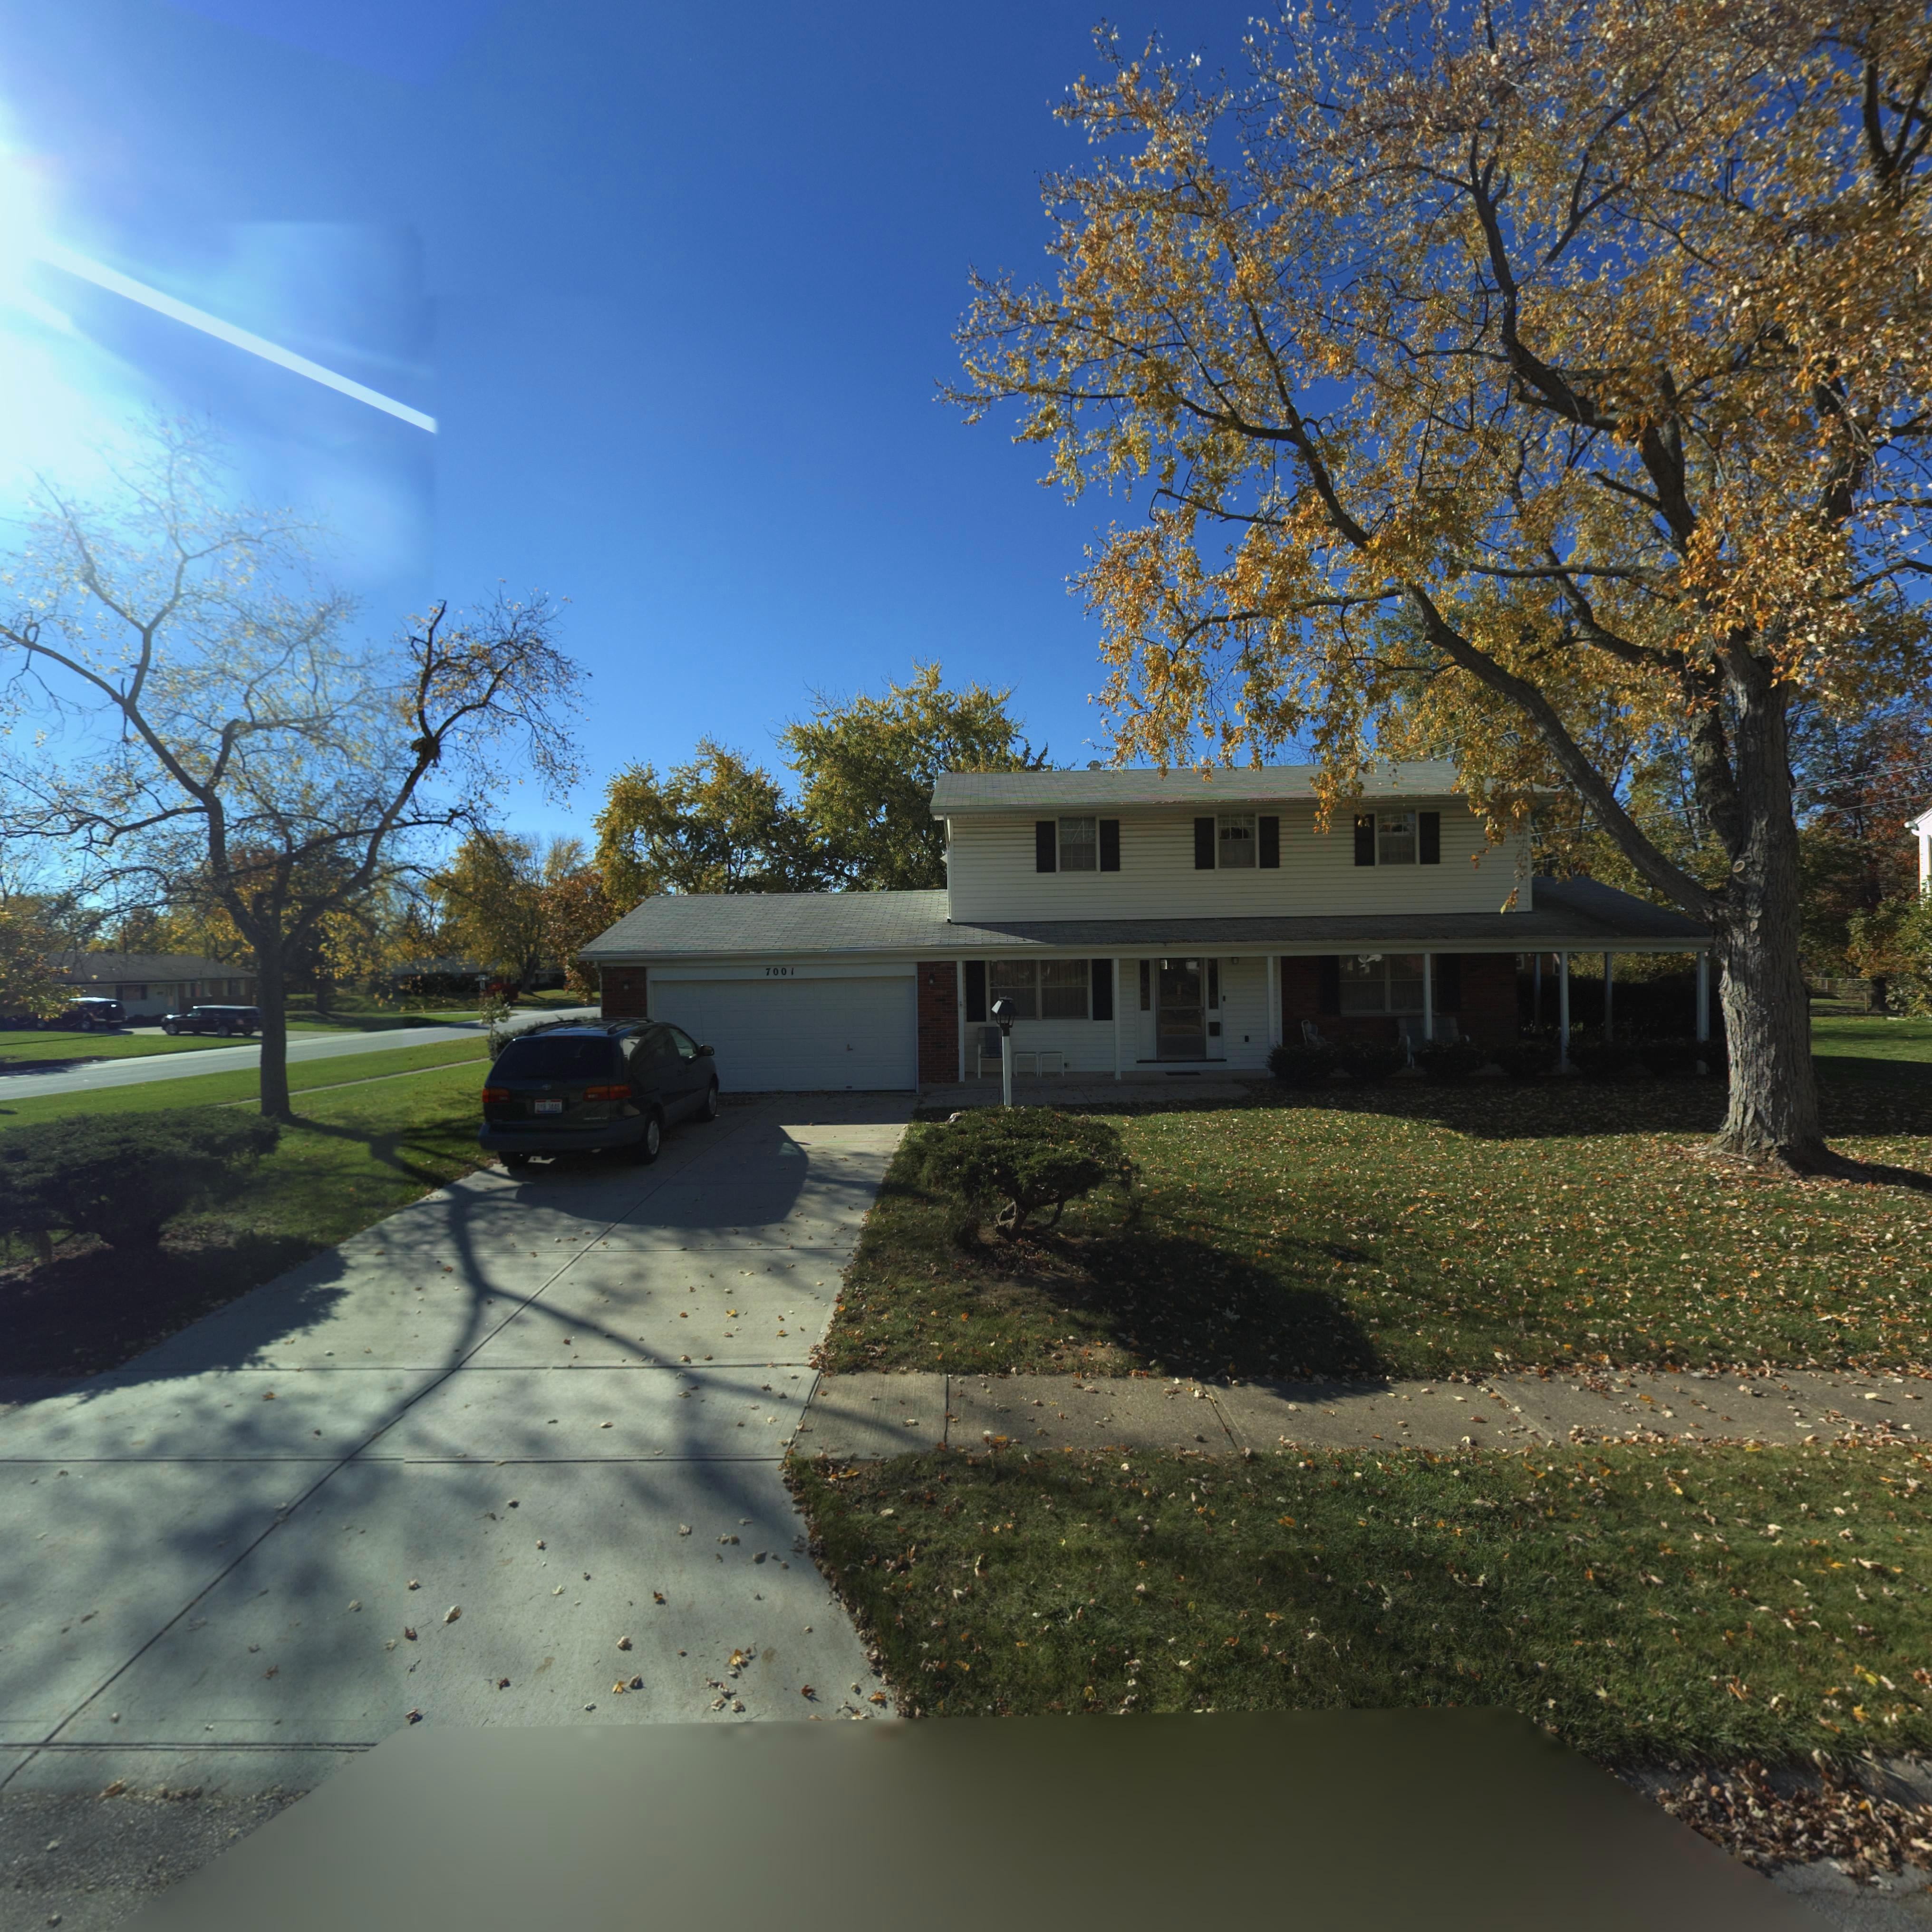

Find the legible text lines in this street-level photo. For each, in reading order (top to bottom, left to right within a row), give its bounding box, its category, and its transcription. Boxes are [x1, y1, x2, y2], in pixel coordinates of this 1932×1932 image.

[764, 966, 795, 977] StreetNumber: 7001
[535, 1102, 561, 1111] None: D*B*3448